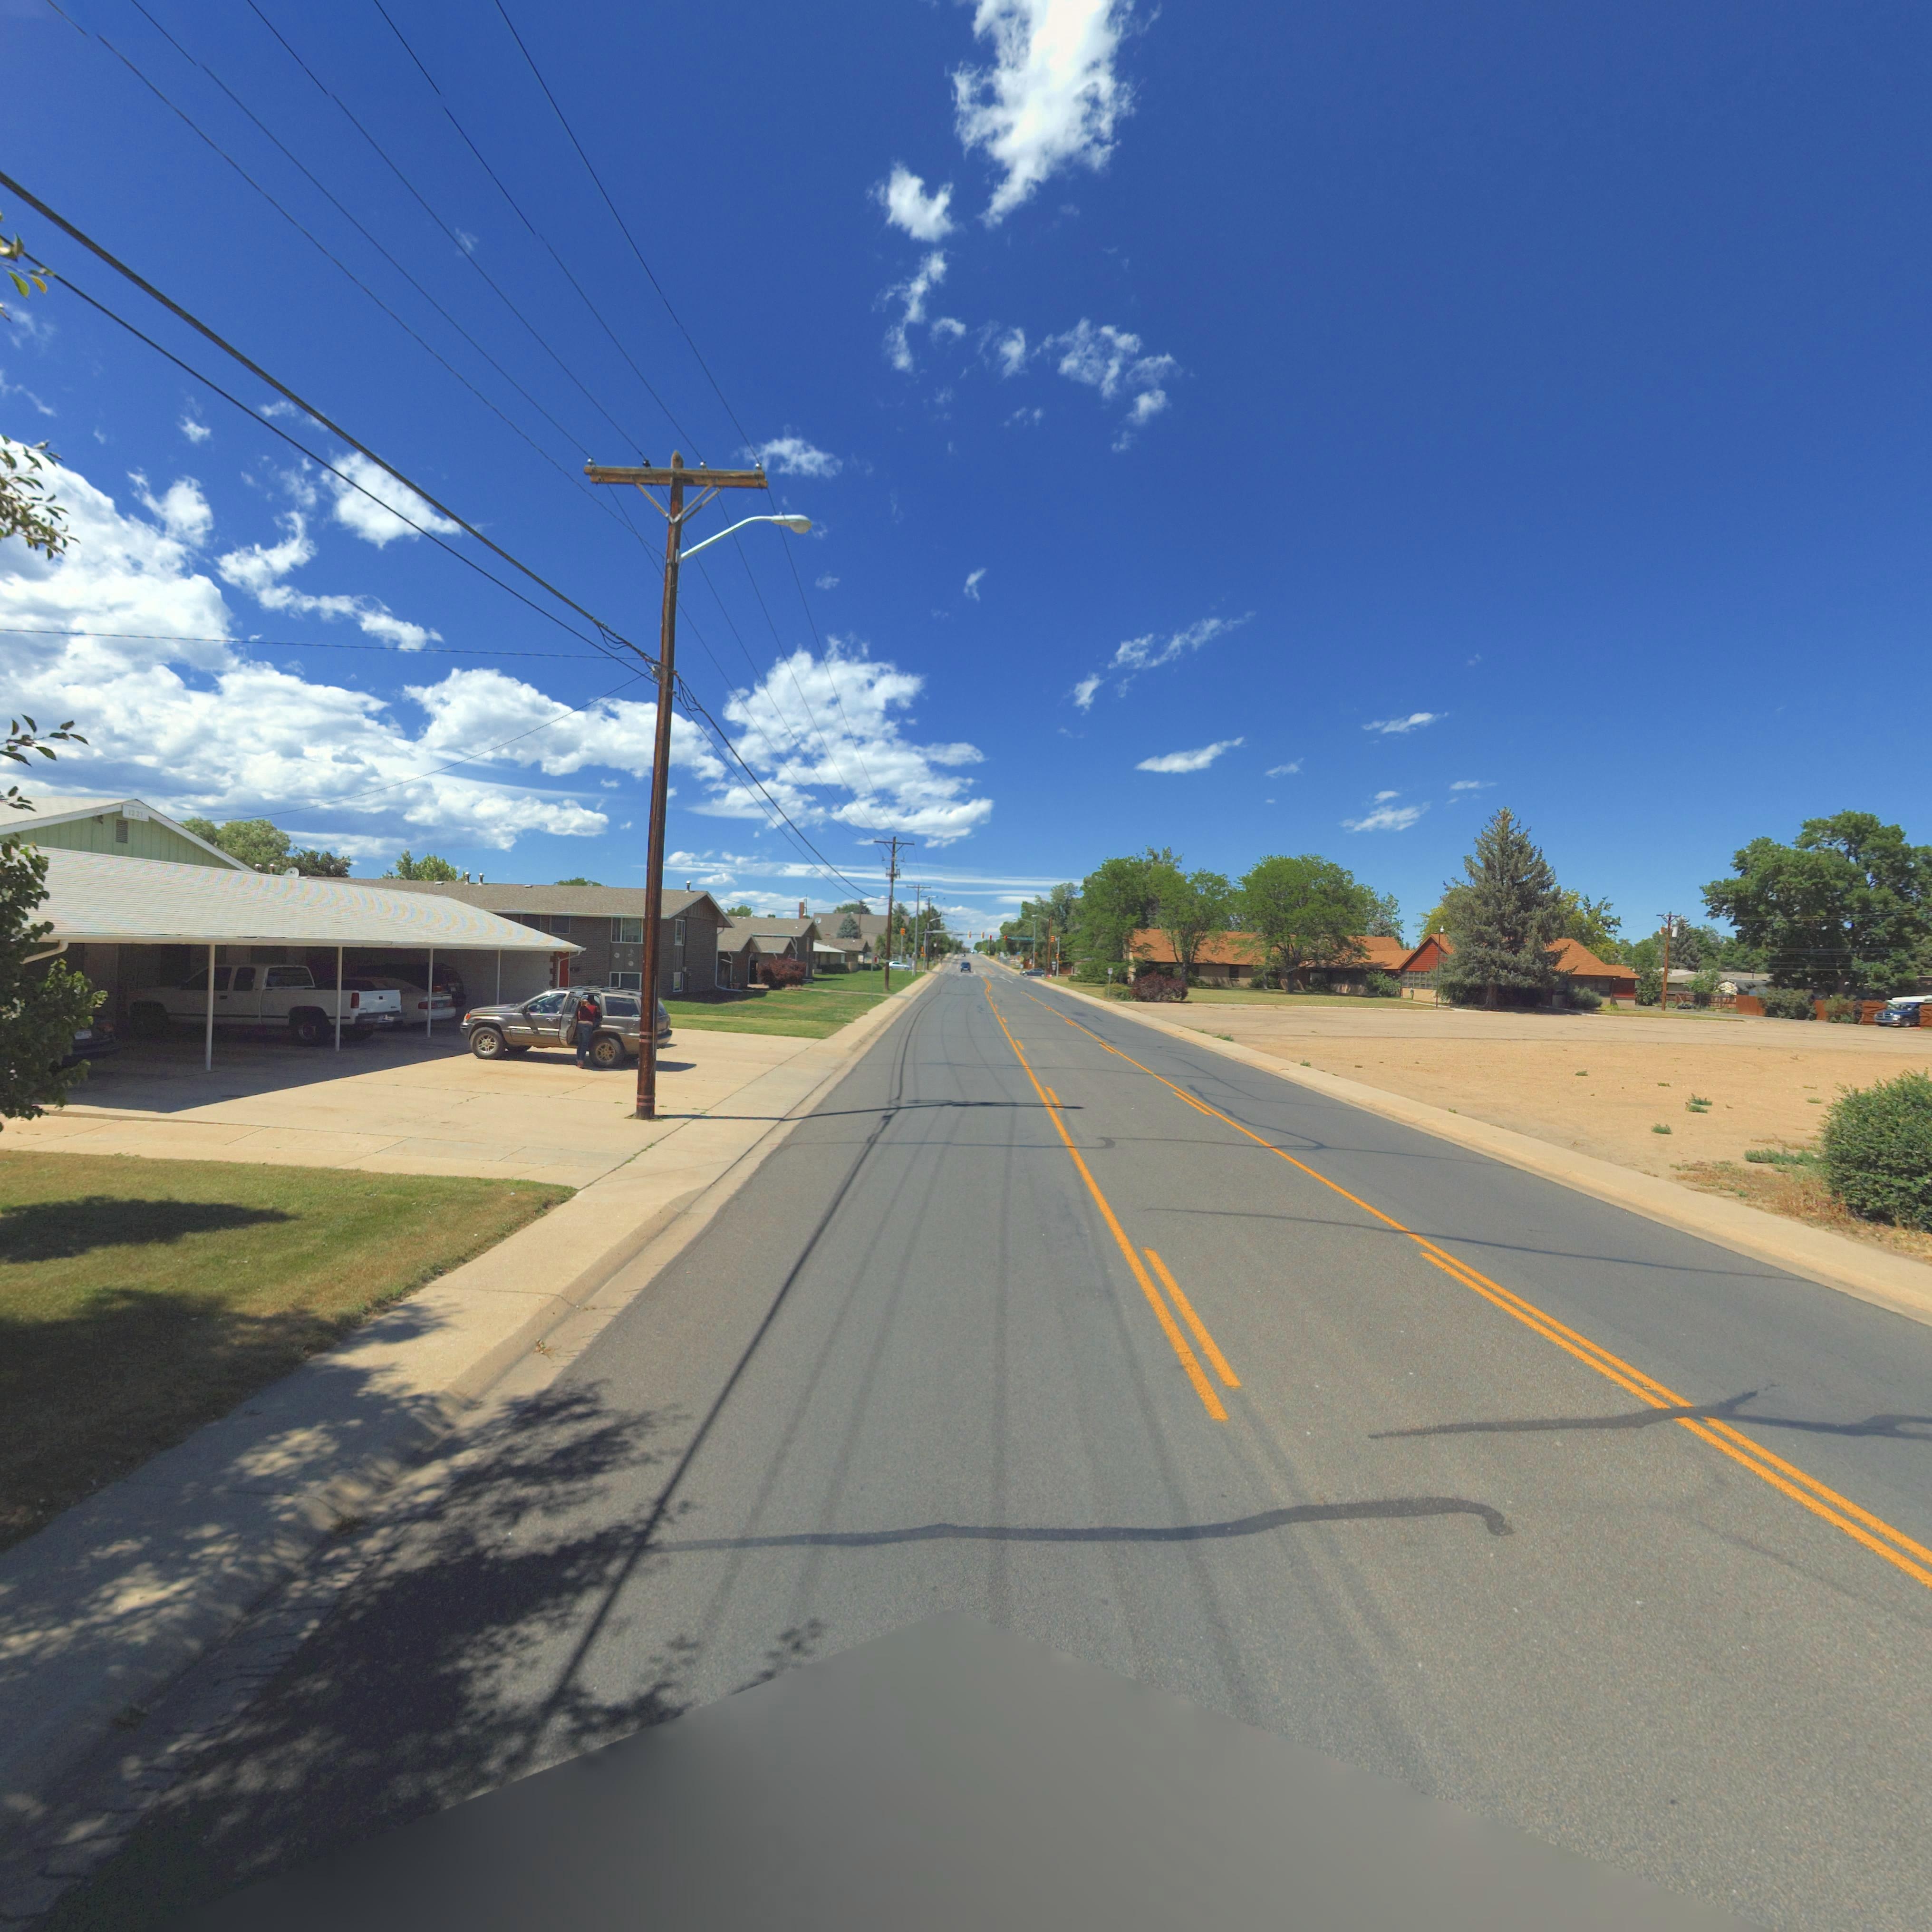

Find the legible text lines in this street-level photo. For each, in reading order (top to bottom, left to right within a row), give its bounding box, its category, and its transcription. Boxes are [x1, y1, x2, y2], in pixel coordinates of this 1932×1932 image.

[127, 809, 143, 818] StreetNumber: 1221